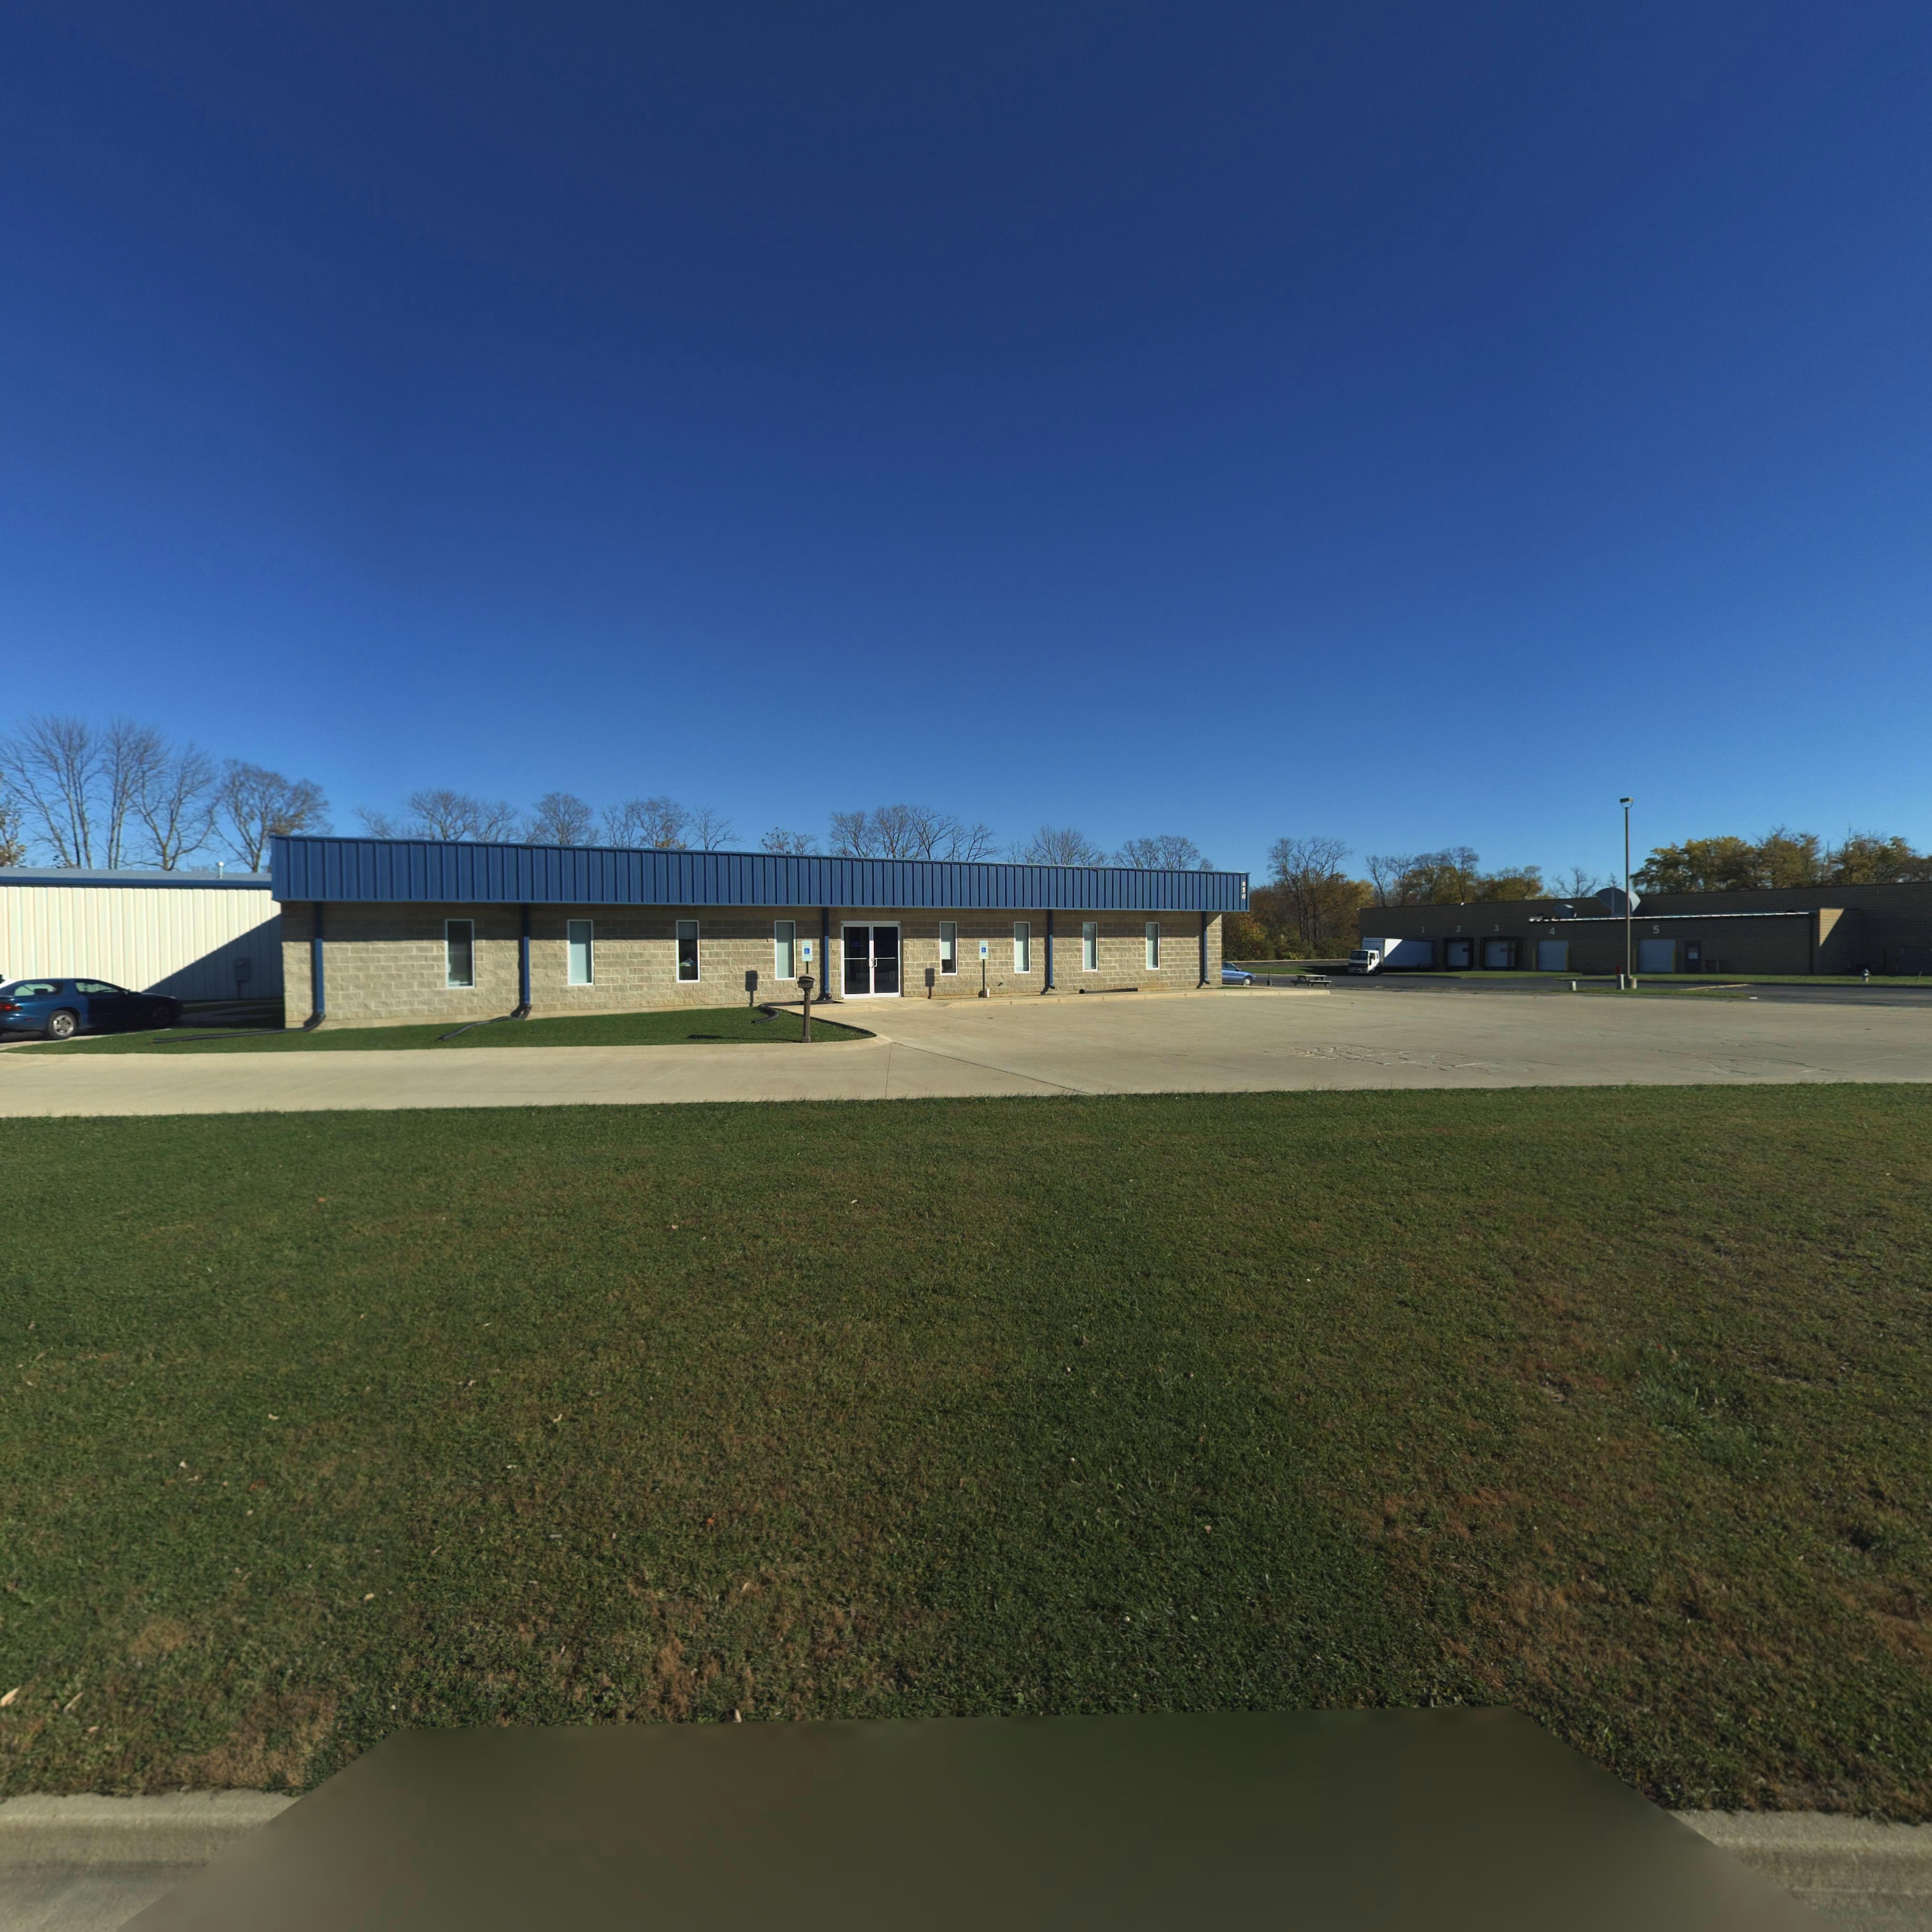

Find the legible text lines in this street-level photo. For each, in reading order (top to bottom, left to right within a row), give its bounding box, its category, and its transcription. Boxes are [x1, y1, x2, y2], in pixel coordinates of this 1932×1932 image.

[1242, 881, 1246, 899] StreetNumber: 650